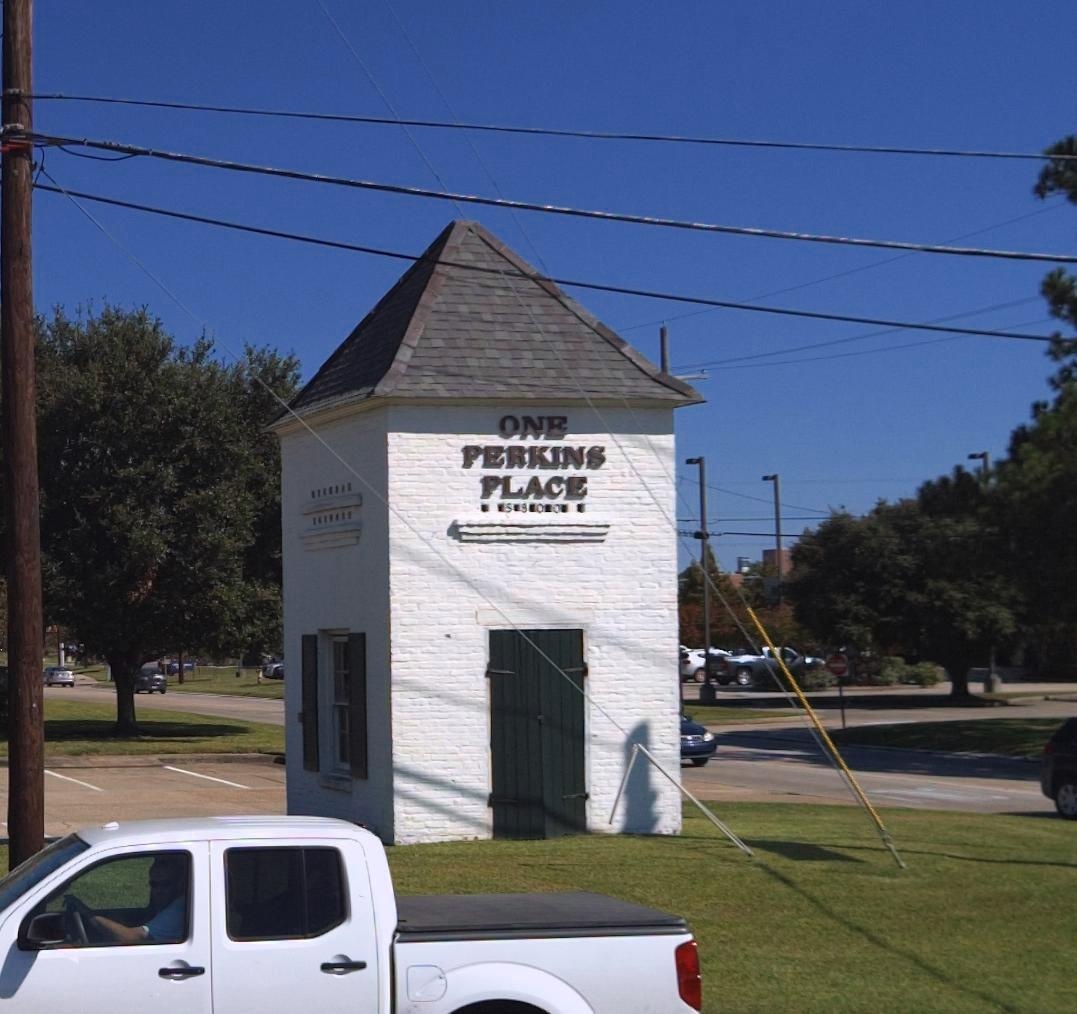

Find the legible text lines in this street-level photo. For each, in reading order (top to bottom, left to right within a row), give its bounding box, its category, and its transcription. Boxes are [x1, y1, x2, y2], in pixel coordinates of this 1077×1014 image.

[495, 414, 572, 442] None: ONE
[459, 443, 609, 471] None: PERKINS
[477, 473, 593, 502] None: PLACE
[503, 501, 562, 515] StreetNumber: 5800